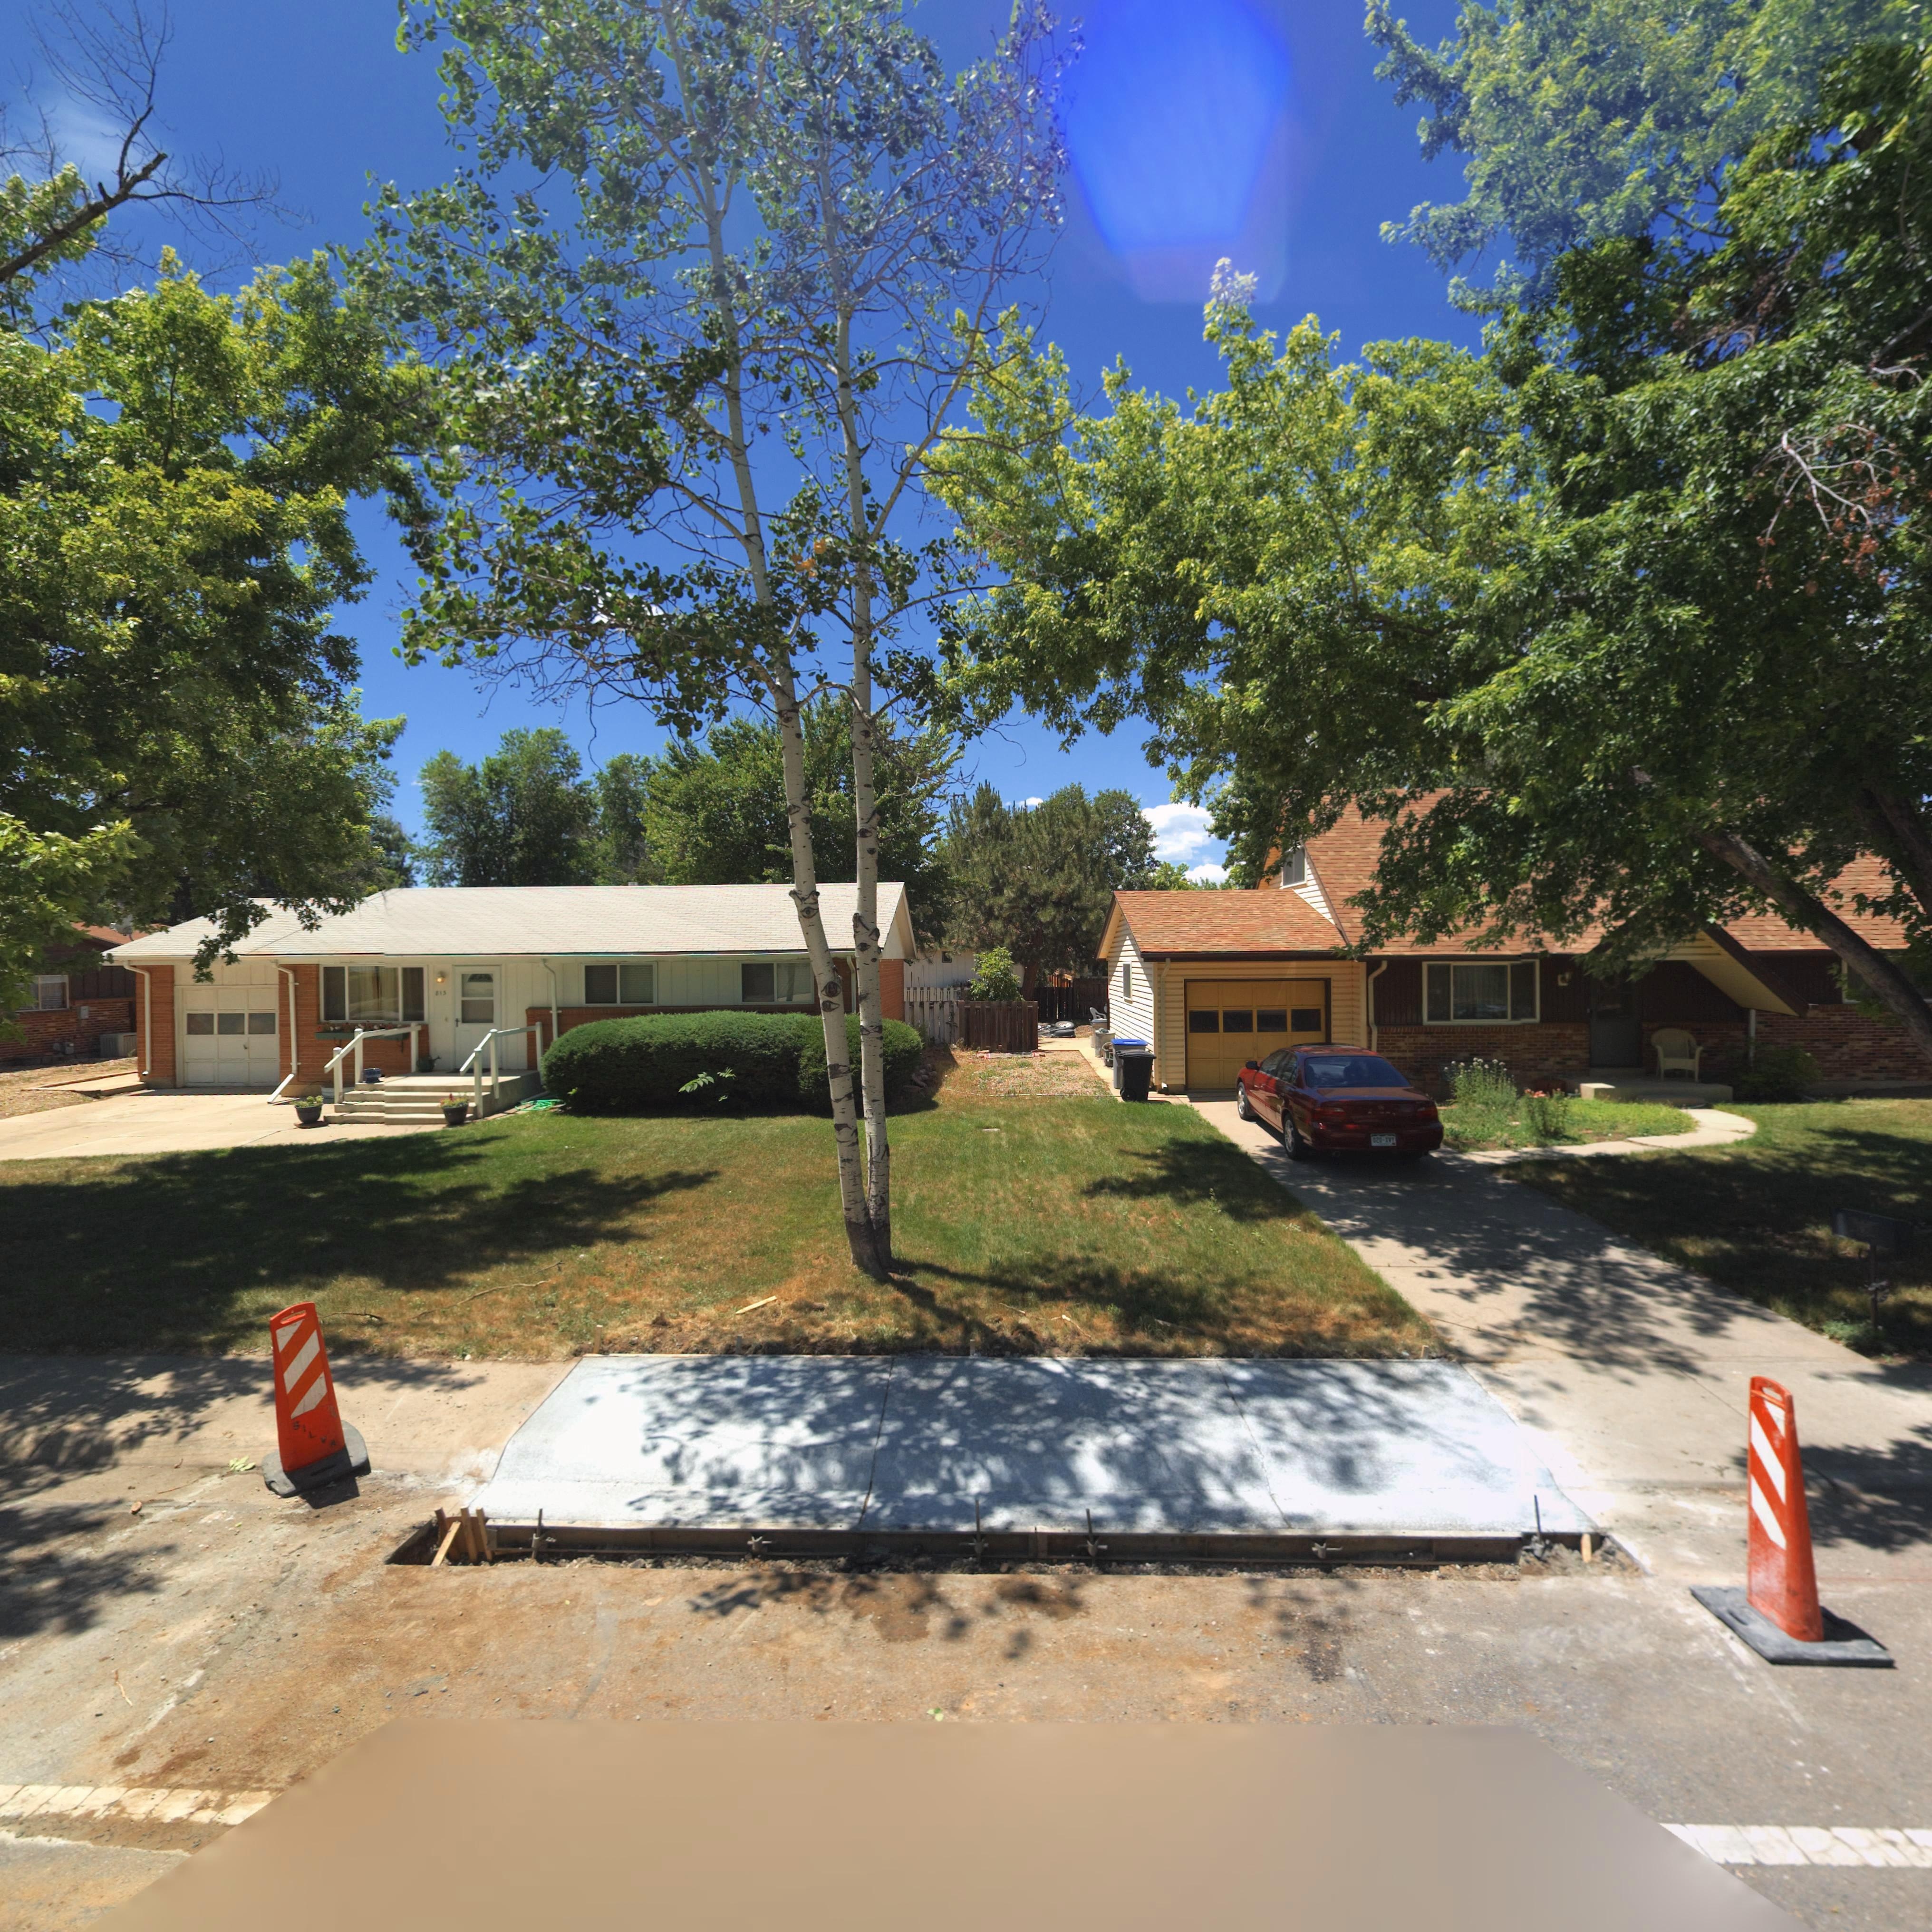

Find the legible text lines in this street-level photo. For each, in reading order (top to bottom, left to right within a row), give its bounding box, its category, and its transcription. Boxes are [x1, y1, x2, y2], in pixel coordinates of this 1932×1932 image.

[435, 990, 446, 996] StreetNumber: 815